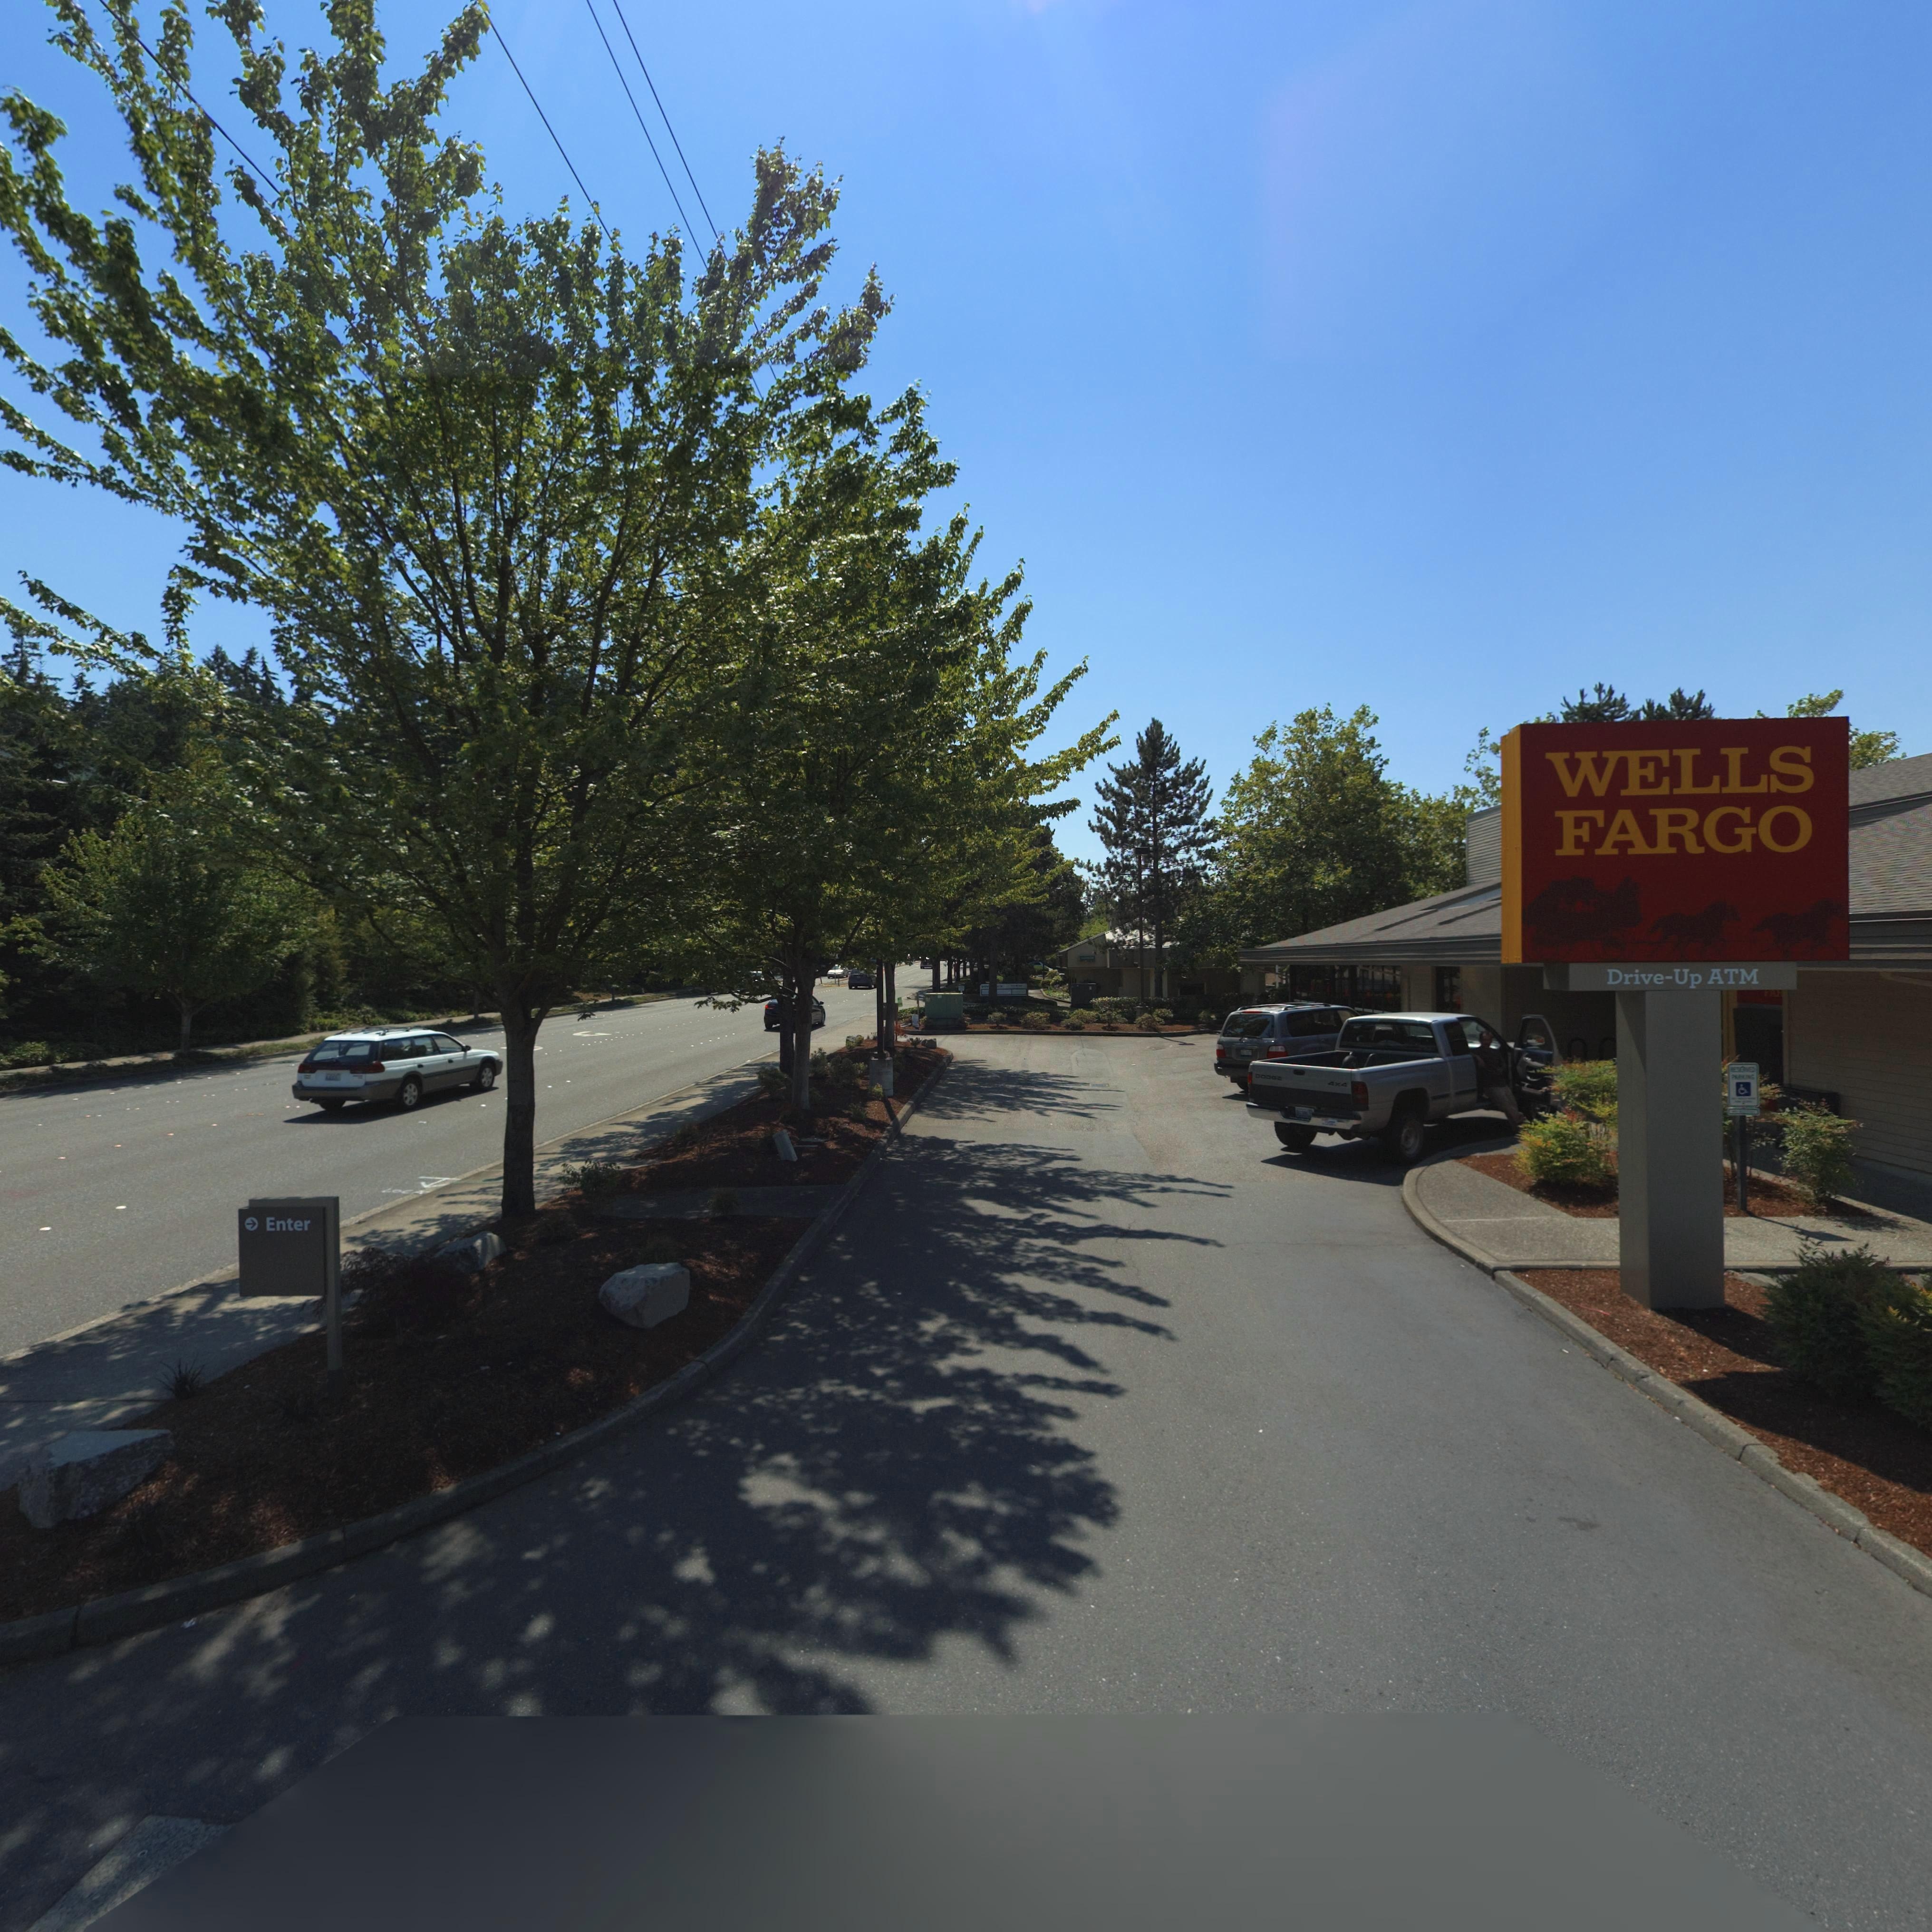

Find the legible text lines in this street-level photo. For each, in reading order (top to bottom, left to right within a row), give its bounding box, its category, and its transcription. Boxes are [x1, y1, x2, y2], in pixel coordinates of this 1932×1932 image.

[1536, 740, 1818, 805] BusinessName: WELLS
[1555, 805, 1812, 855] BusinessName: FARGO